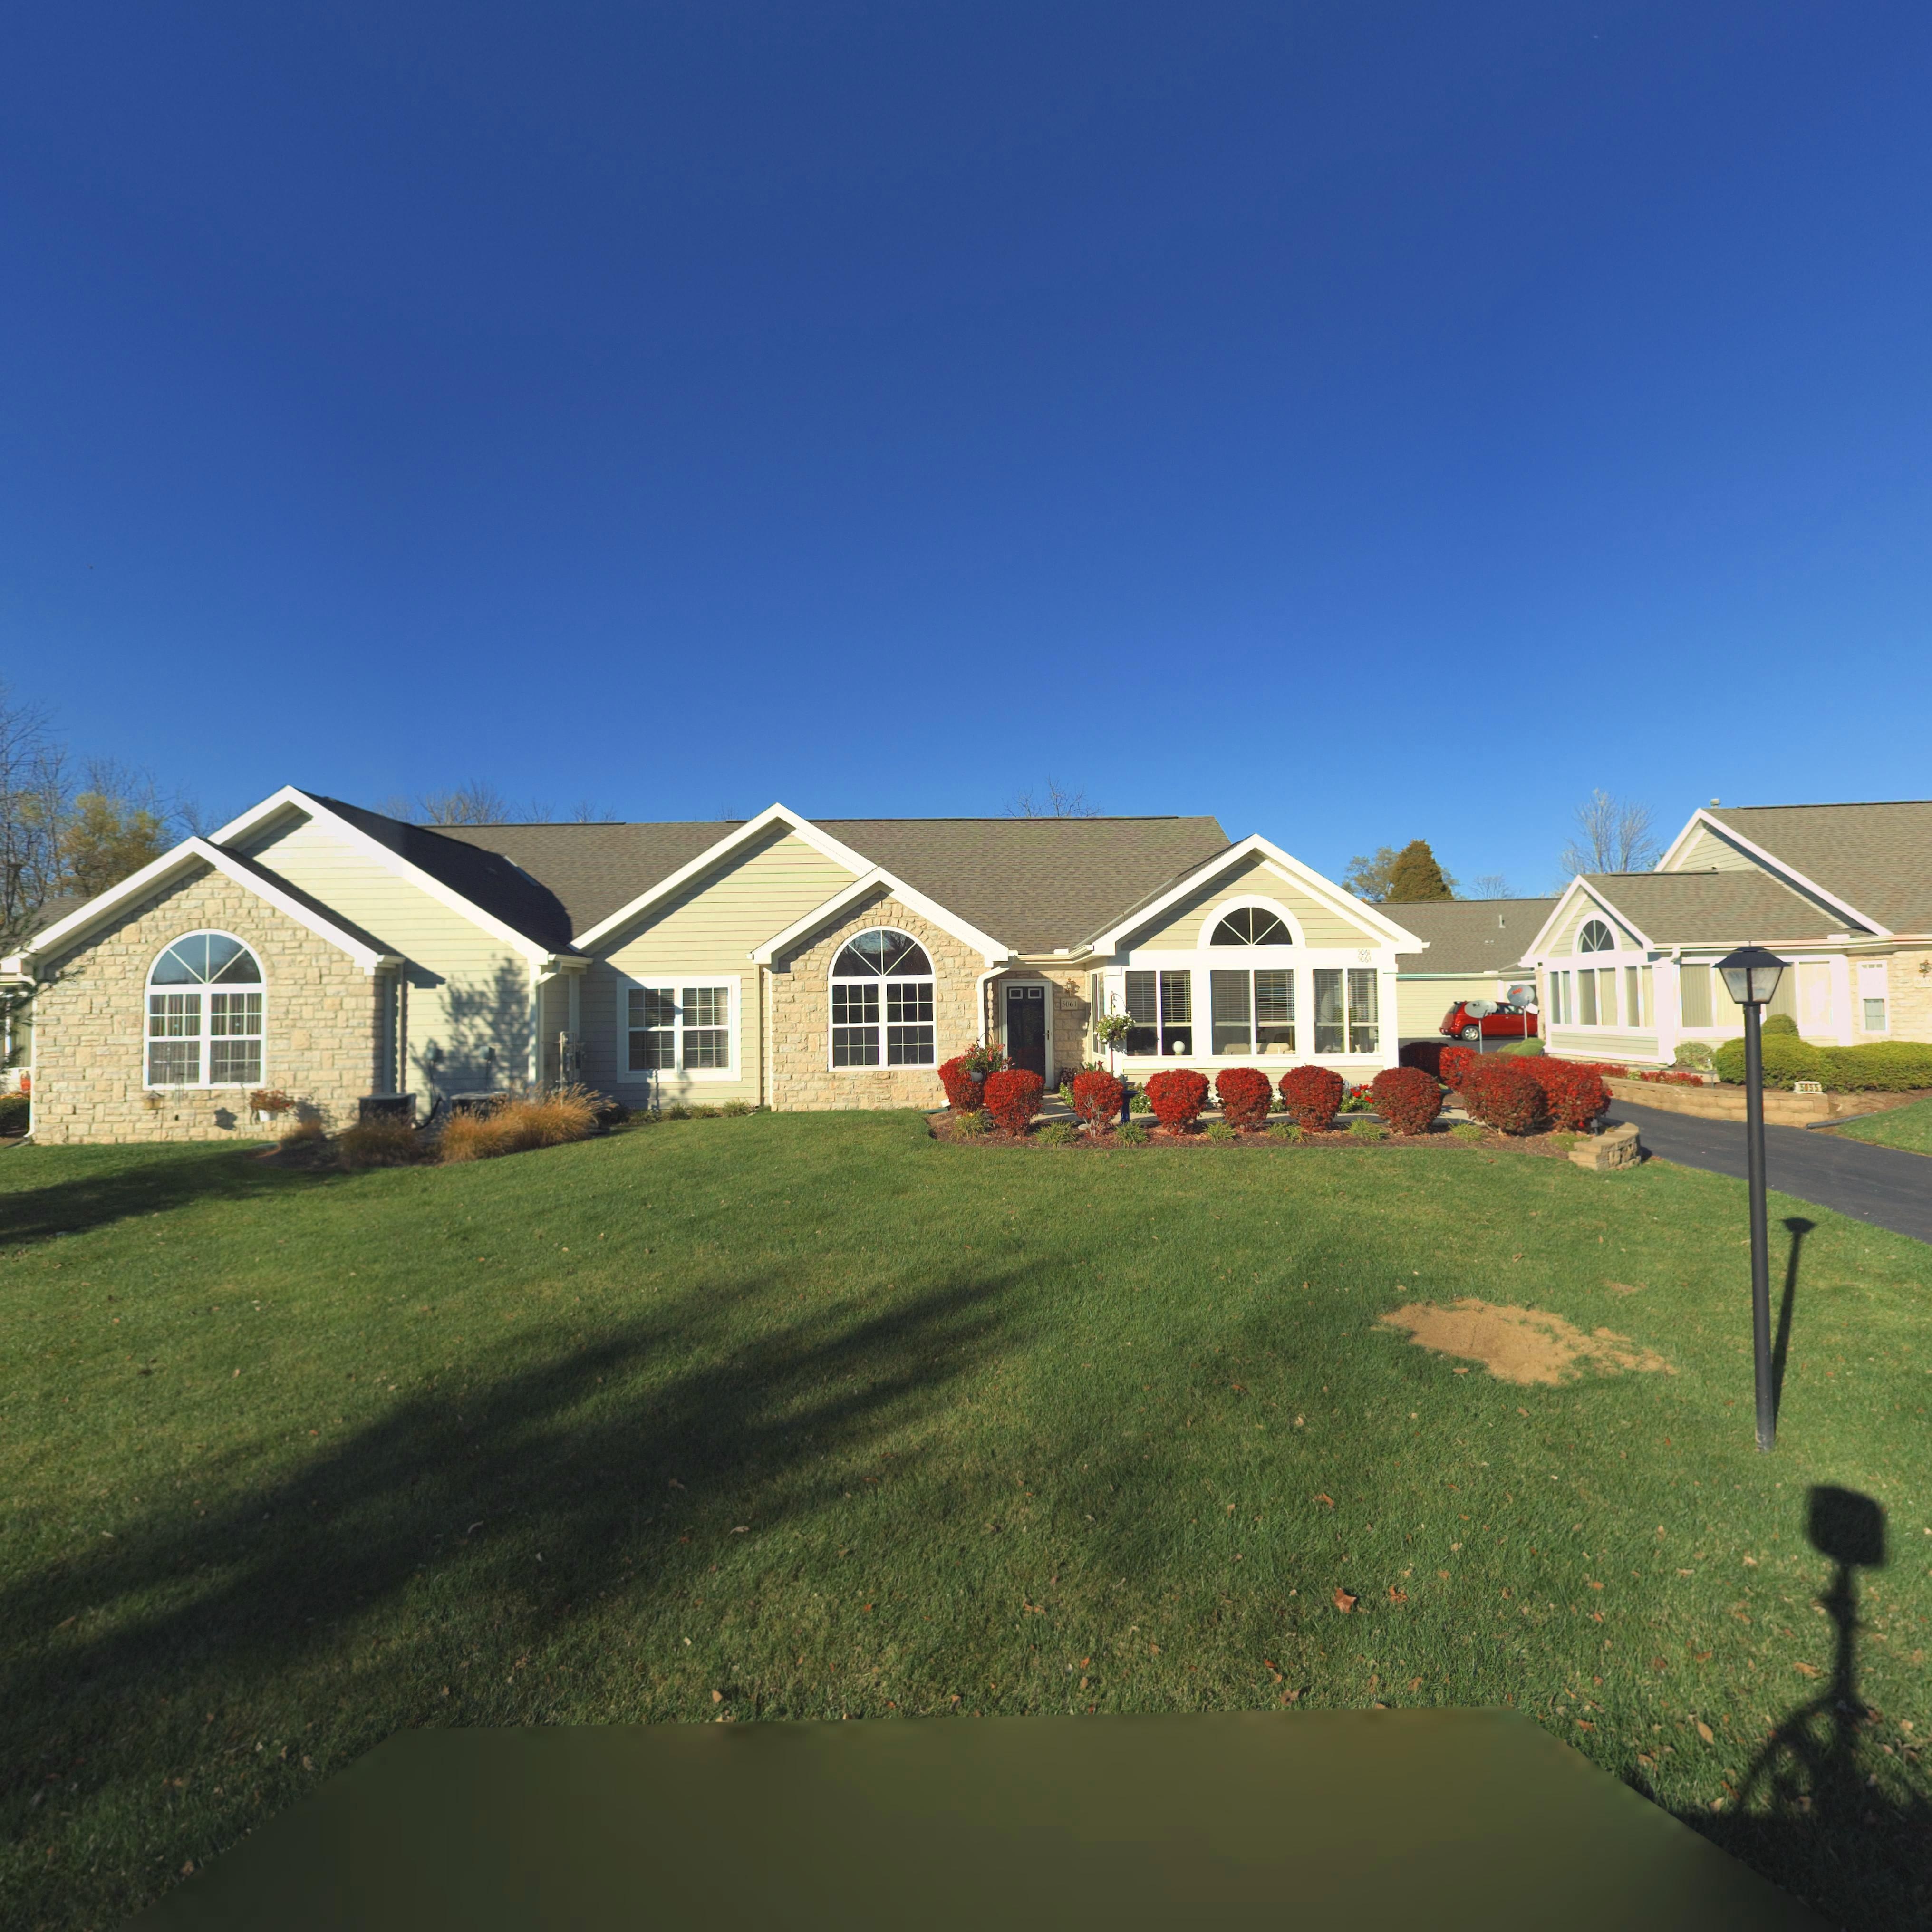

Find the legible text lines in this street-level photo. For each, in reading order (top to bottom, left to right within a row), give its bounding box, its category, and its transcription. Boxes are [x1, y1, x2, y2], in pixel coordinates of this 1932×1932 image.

[1061, 1000, 1077, 1008] StreetNumber: 5061
[1799, 1083, 1820, 1092] StreetNumber: 5055